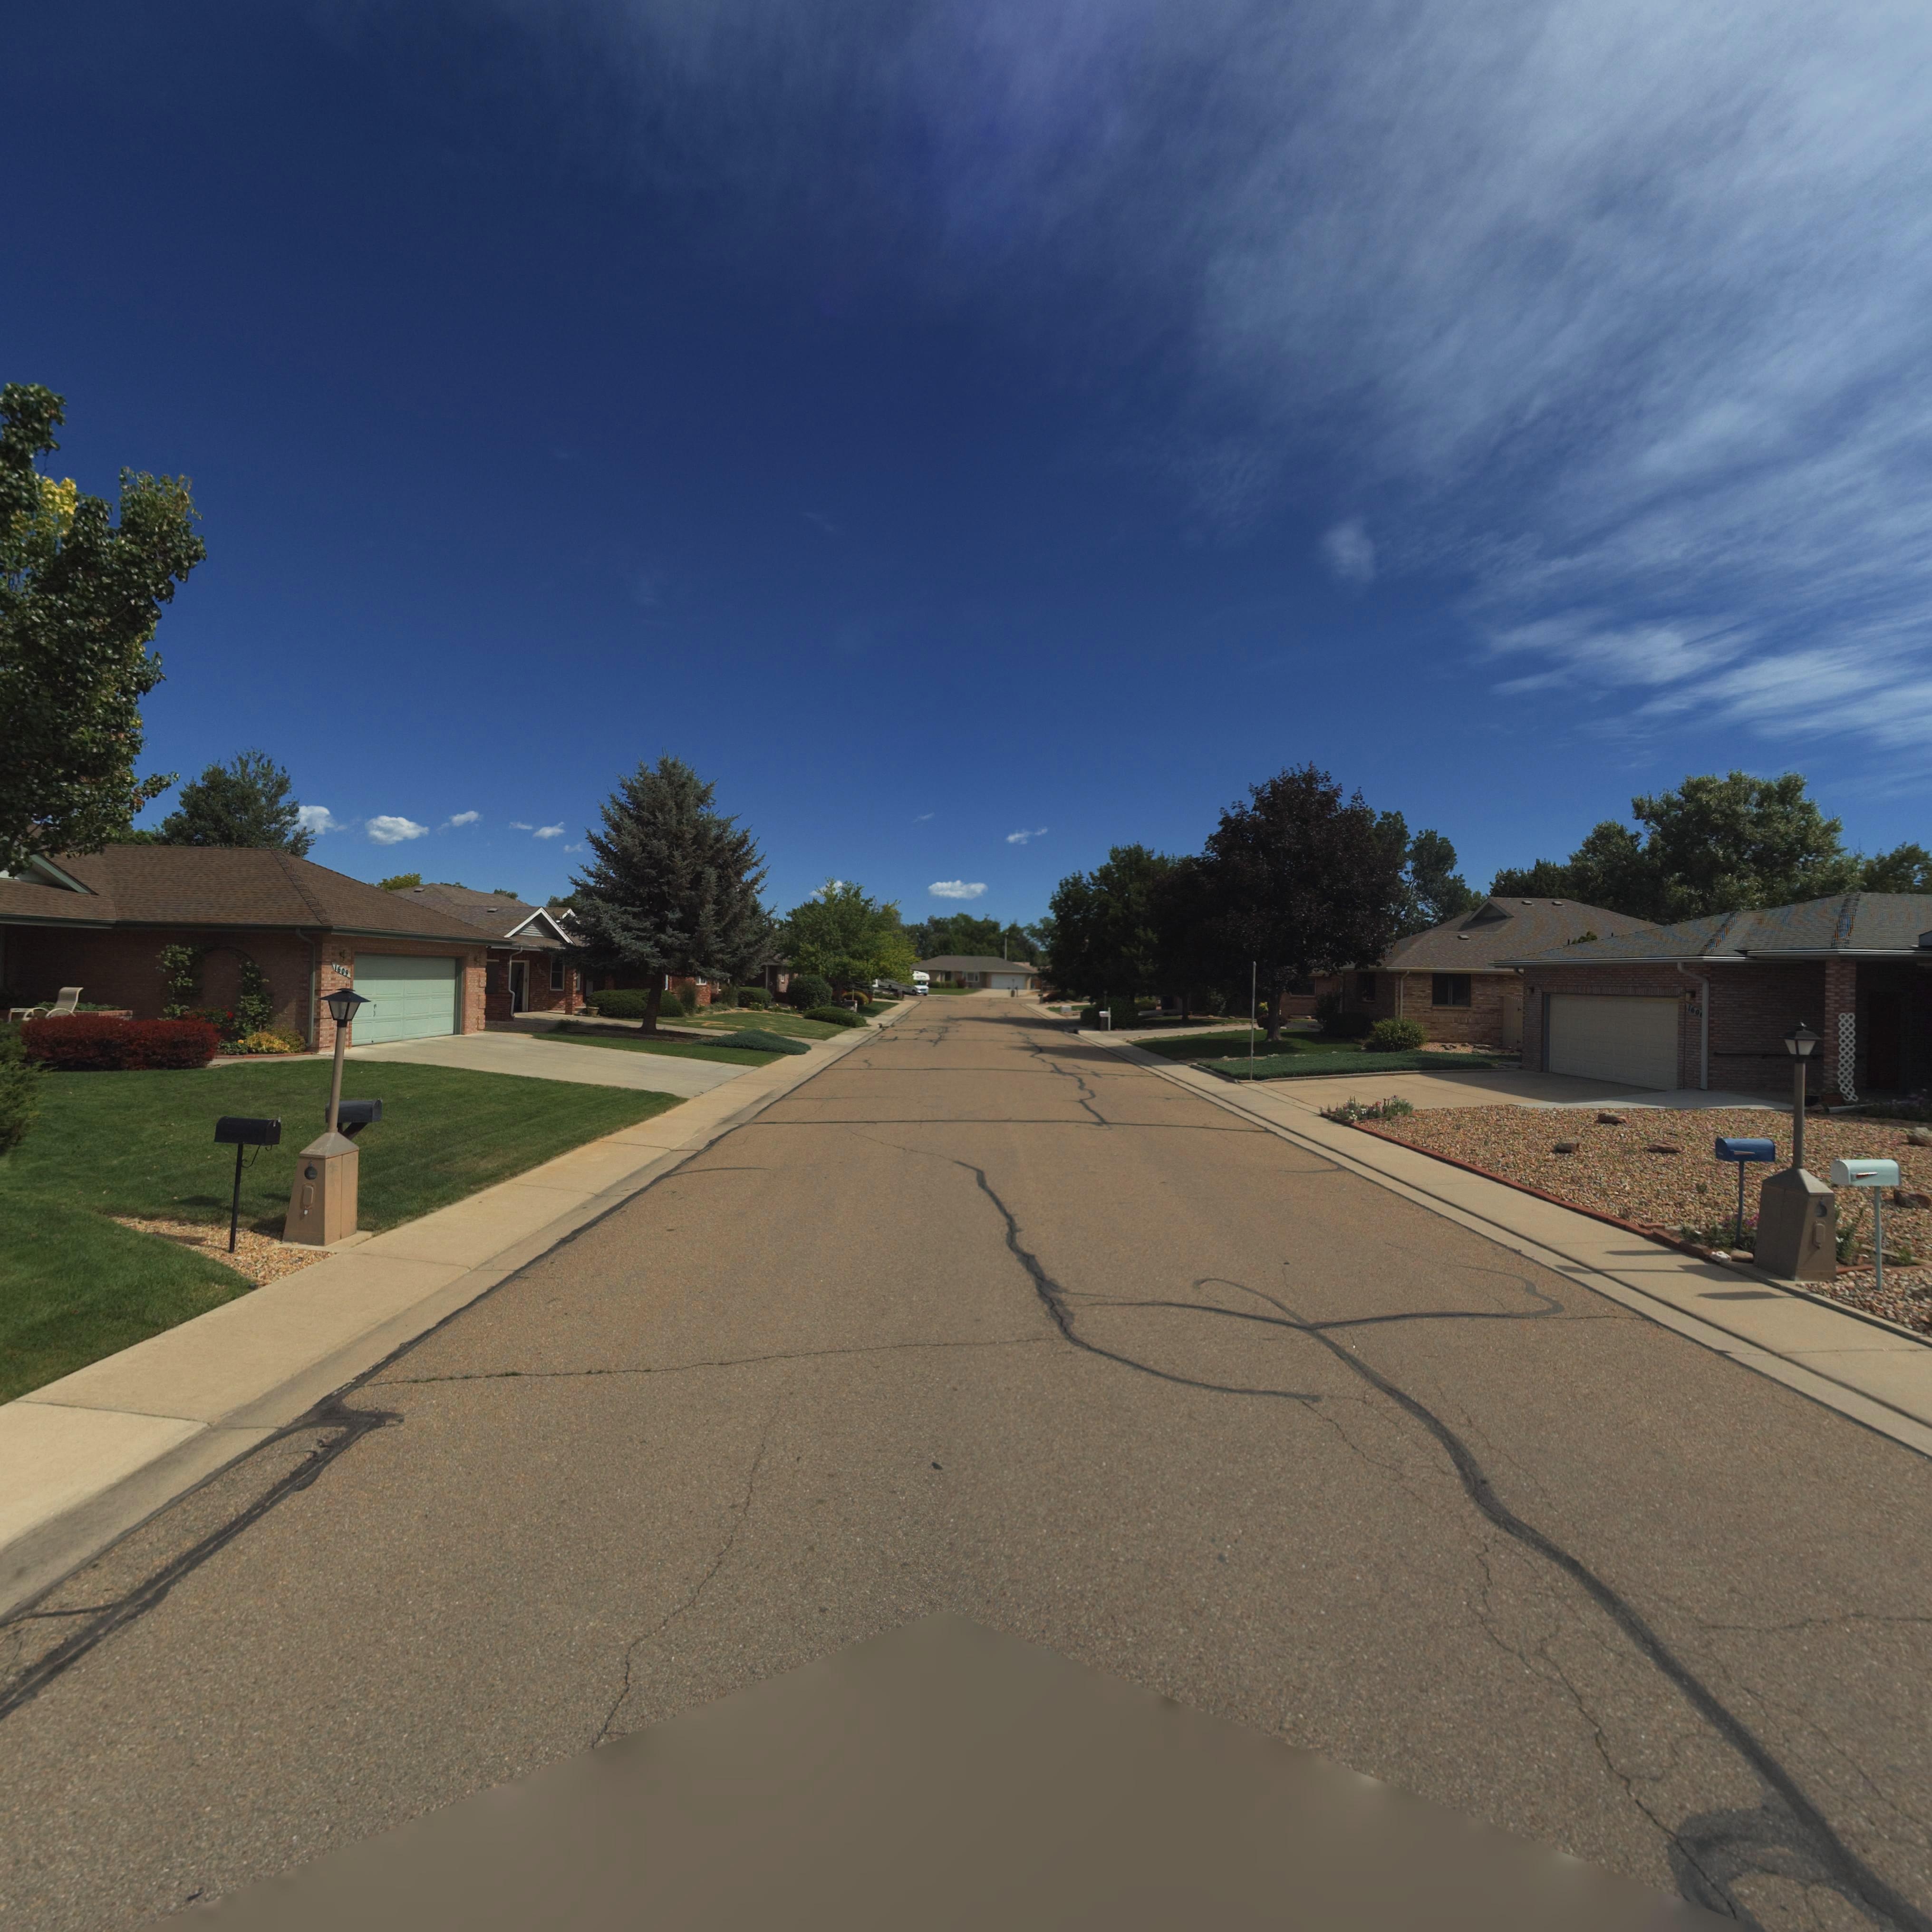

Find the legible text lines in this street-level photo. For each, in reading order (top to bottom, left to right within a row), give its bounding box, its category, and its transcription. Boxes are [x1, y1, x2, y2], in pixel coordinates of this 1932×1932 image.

[334, 963, 348, 976] StreetNumber: 1609
[1688, 1004, 1702, 1019] StreetNumber: 160*